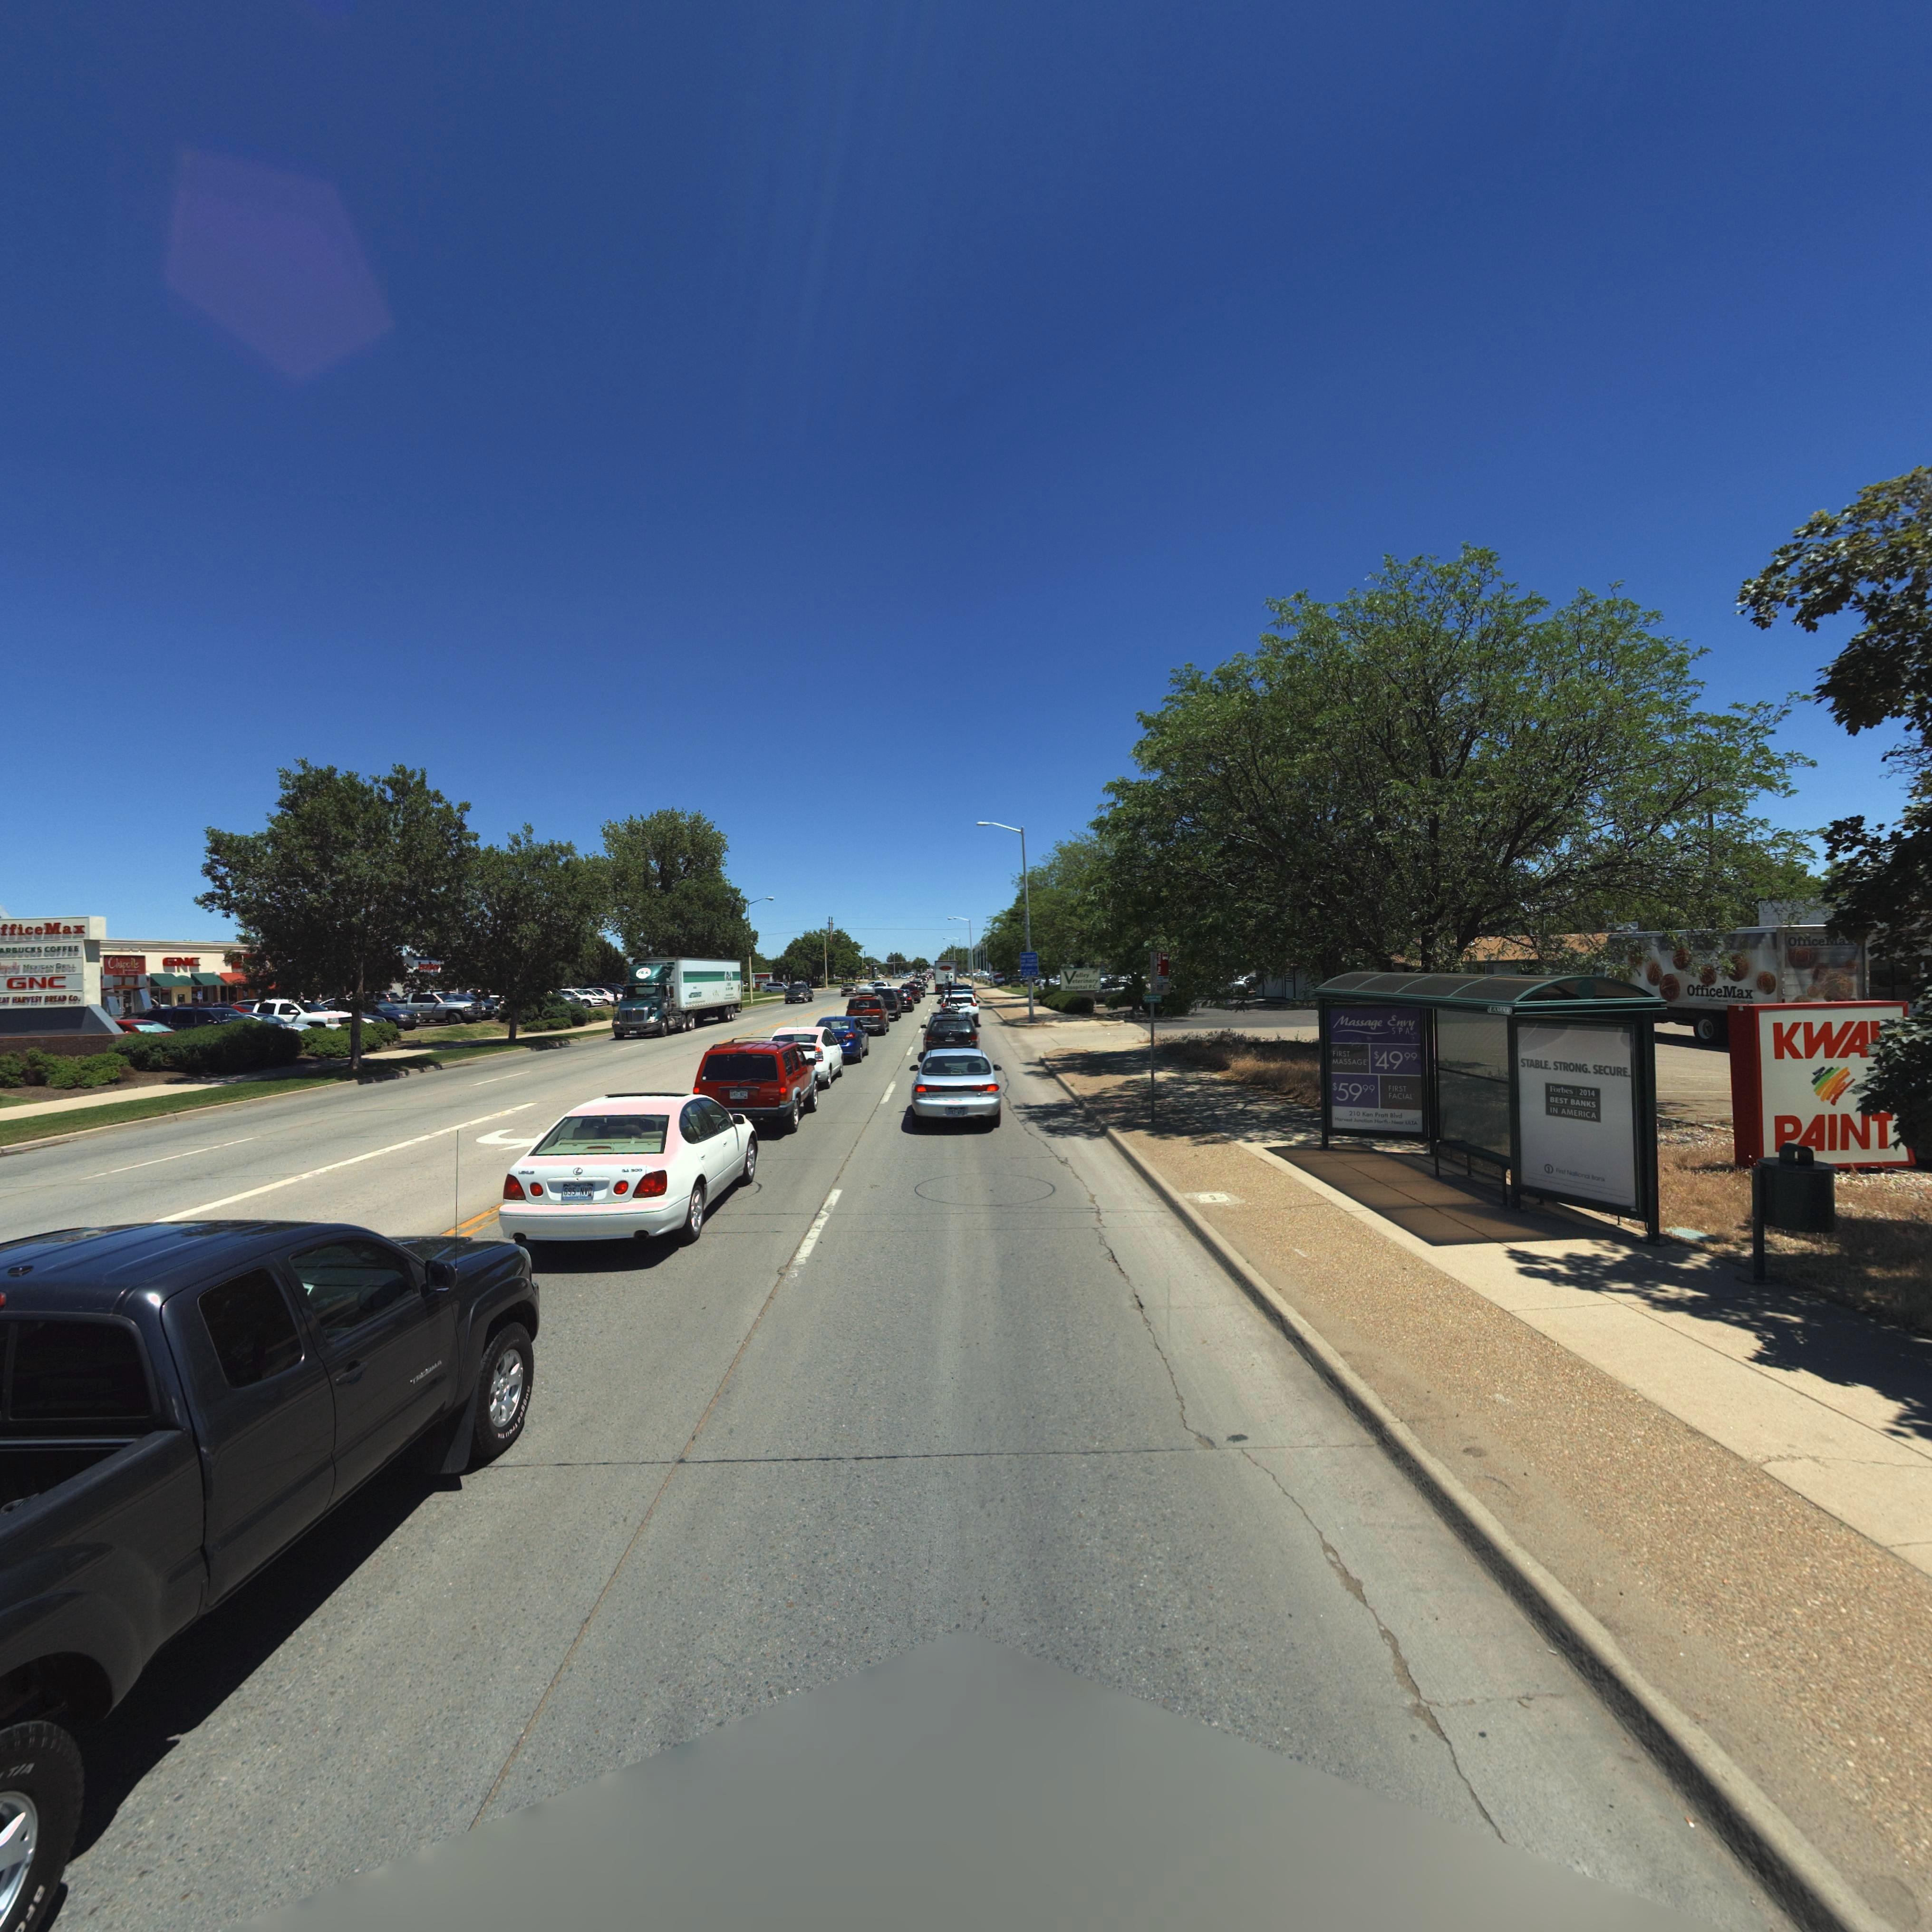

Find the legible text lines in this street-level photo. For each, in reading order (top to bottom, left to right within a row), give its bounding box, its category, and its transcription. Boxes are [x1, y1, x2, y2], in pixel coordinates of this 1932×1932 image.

[8, 921, 85, 936] BusinessName: fice Max
[5, 945, 79, 954] BusinessName: RBUCKS COFFEE
[4, 960, 77, 972] BusinessName: ***** MEX***N GRILL
[107, 955, 140, 972] BusinessName: Ch*po*le
[163, 957, 200, 966] BusinessName: GNC
[418, 961, 440, 970] BusinessName: *****es
[6, 976, 67, 989] BusinessName: GNC
[1063, 970, 1077, 984] BusinessName: V
[1065, 984, 1096, 990] BusinessName: Hospital P.C
[1075, 972, 1090, 978] BusinessName: alley
[1072, 979, 1099, 984] BusinessName: eterinary
[1, 994, 78, 1004] BusinessName: AT HARVEST BREAD CO
[1772, 1020, 1881, 1060] BusinessName: KWA*
[1773, 1111, 1894, 1153] BusinessName: PAINT